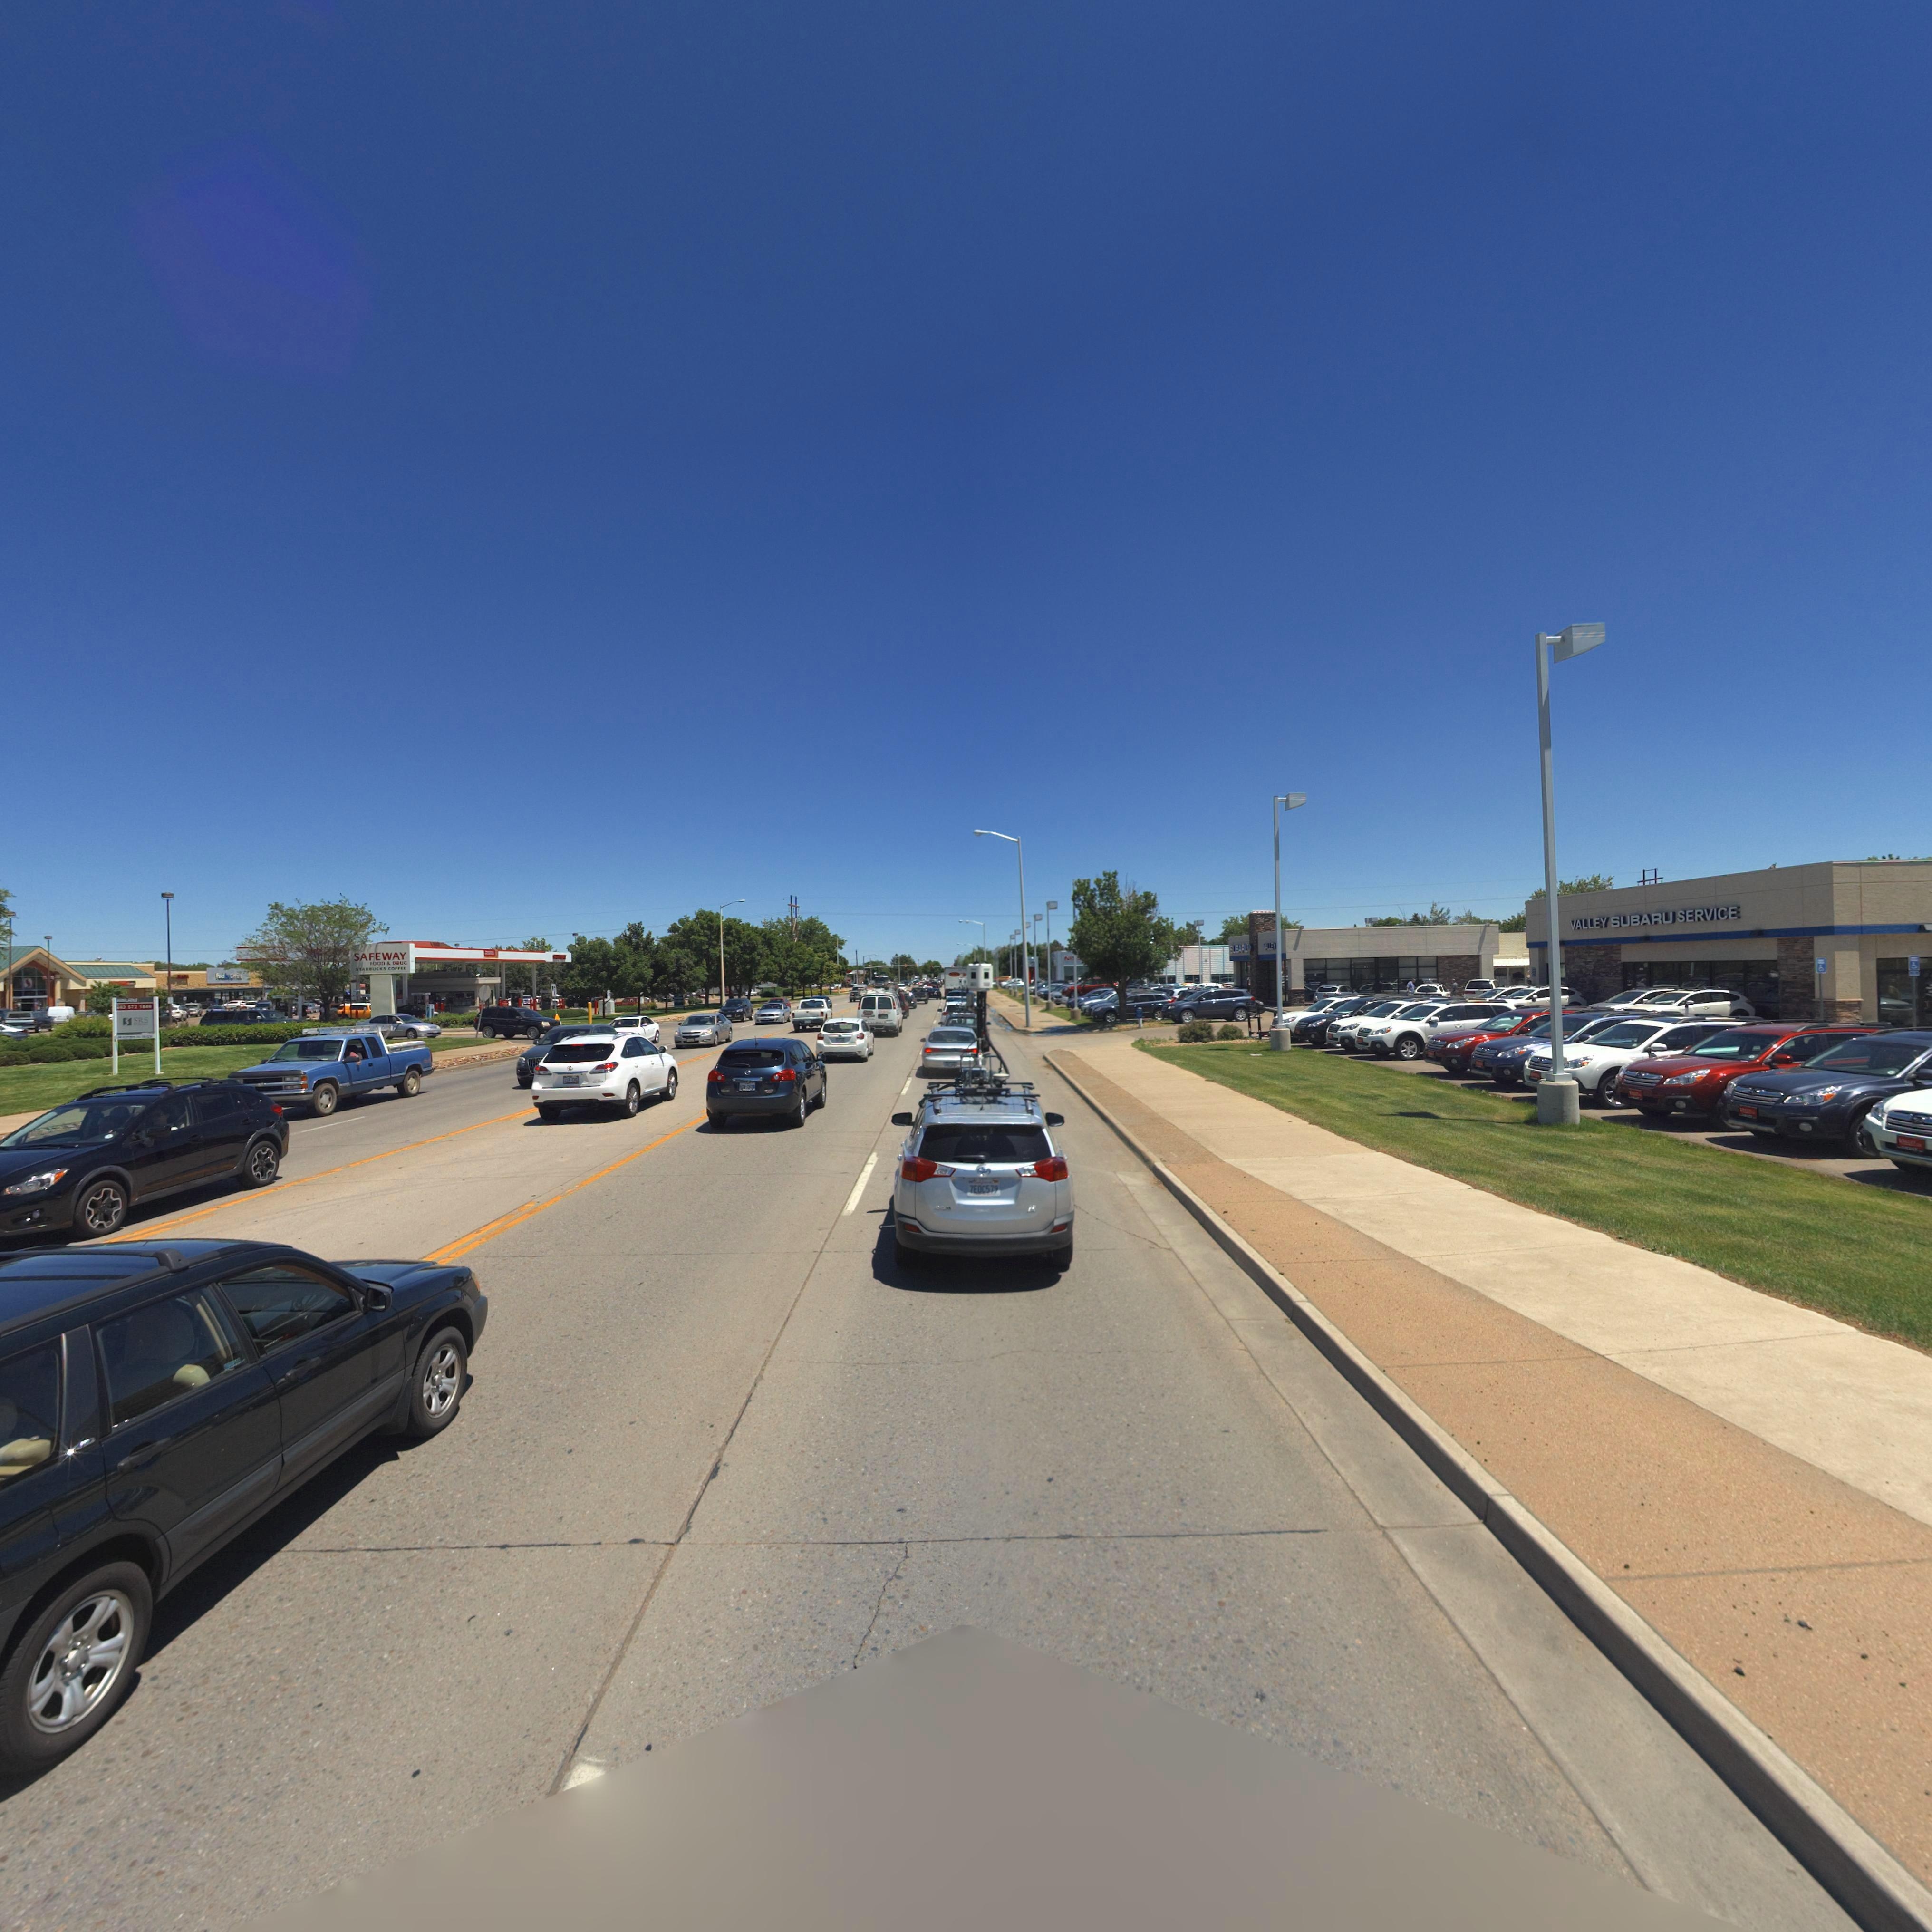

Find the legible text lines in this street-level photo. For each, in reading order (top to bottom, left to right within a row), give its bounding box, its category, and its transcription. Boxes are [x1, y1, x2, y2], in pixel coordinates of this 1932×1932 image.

[1568, 905, 1740, 930] BusinessName: VALLEY SUBARU SERVICE
[1230, 943, 1248, 954] BusinessName: SUBARU
[353, 952, 406, 962] BusinessName: SAFEWAY
[1064, 956, 1072, 960] BusinessName: NI
[370, 960, 407, 966] BusinessName: *OOD * D*UG
[355, 966, 406, 971] BusinessName: STAR*UCKS COFFE*
[215, 972, 242, 980] BusinessName: F*d**O*****